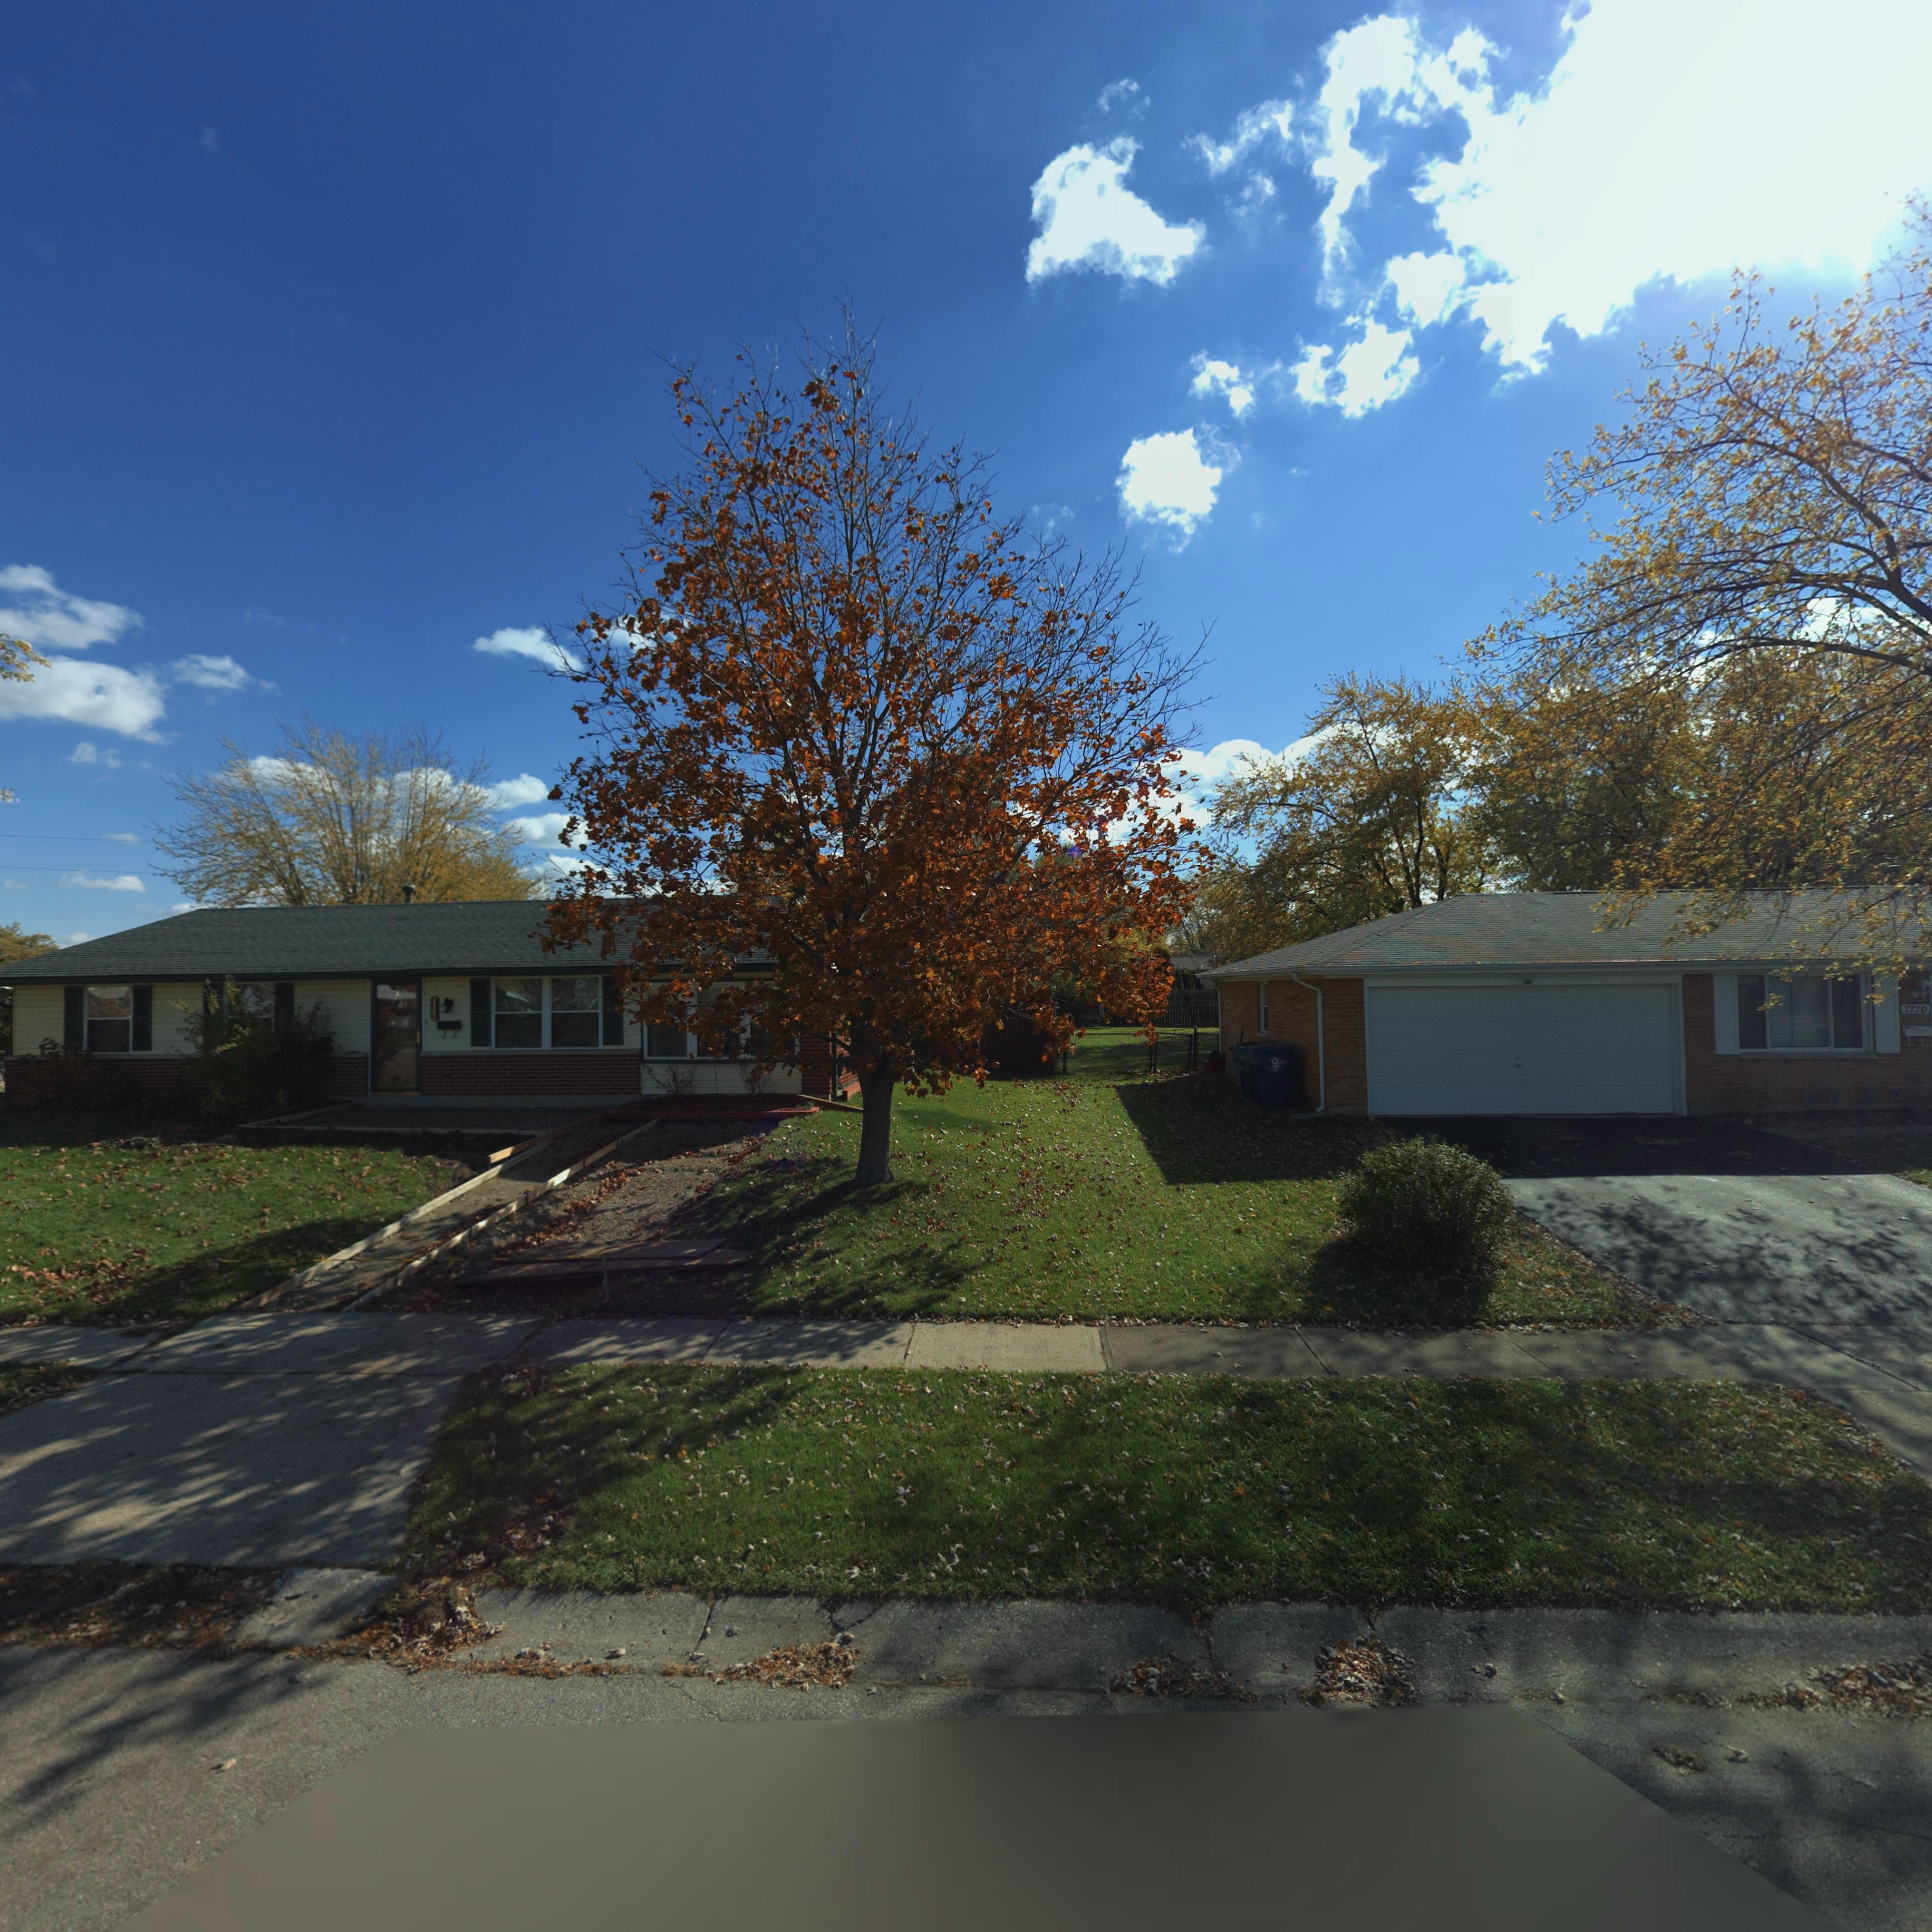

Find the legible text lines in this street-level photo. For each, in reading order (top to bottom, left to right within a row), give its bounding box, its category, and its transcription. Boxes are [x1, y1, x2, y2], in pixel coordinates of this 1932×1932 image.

[432, 996, 437, 1021] StreetNumber: 7780
[1904, 1005, 1927, 1013] StreetNumber: 7770